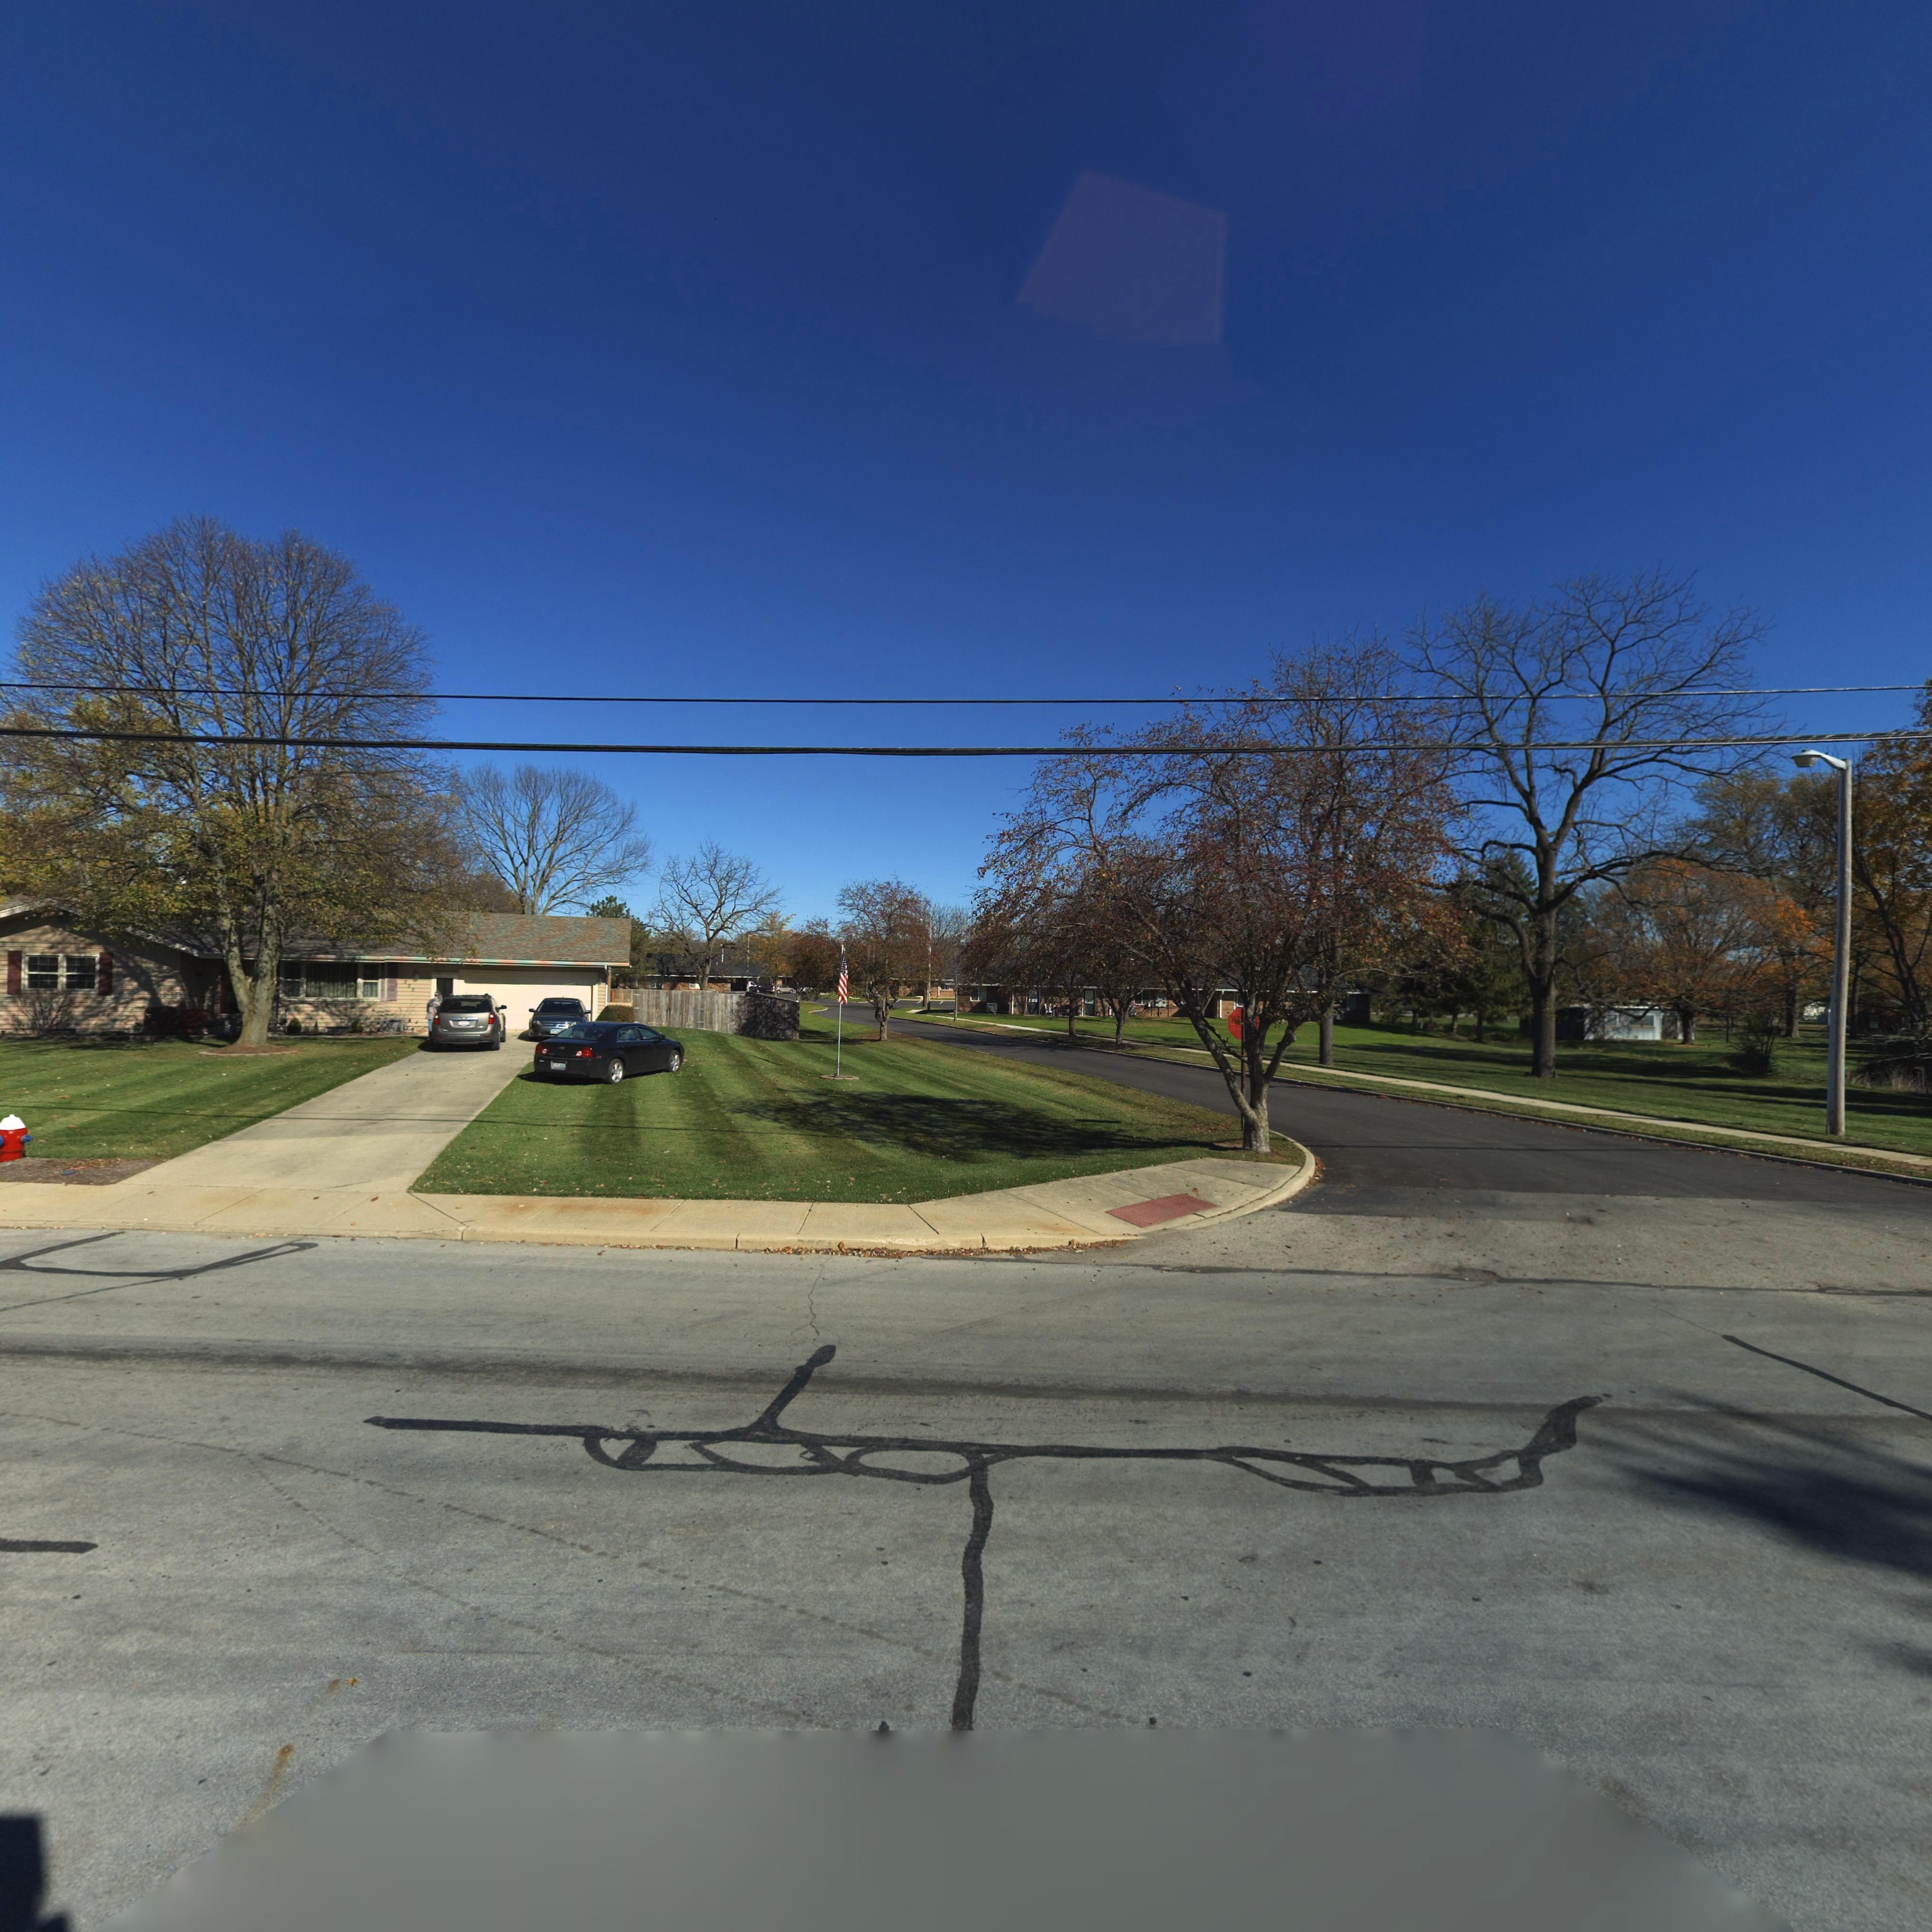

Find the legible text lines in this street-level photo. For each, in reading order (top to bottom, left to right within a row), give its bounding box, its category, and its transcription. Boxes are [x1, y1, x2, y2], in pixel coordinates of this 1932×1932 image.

[404, 979, 415, 992] StreetNumber: 228